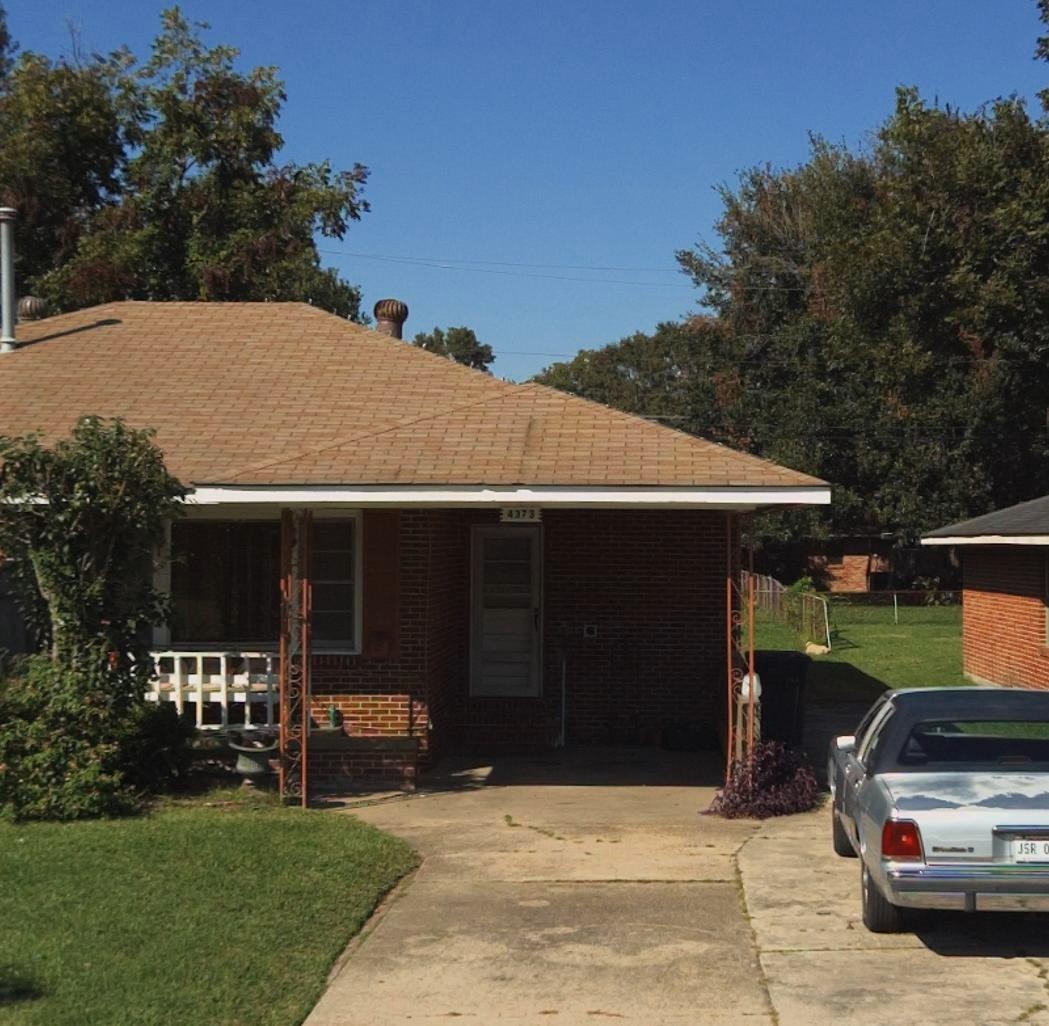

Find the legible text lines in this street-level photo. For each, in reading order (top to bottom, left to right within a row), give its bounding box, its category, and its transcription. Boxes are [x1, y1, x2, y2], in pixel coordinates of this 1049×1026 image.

[506, 509, 535, 520] StreetNumber: 4373
[1016, 842, 1037, 855] None: JSR